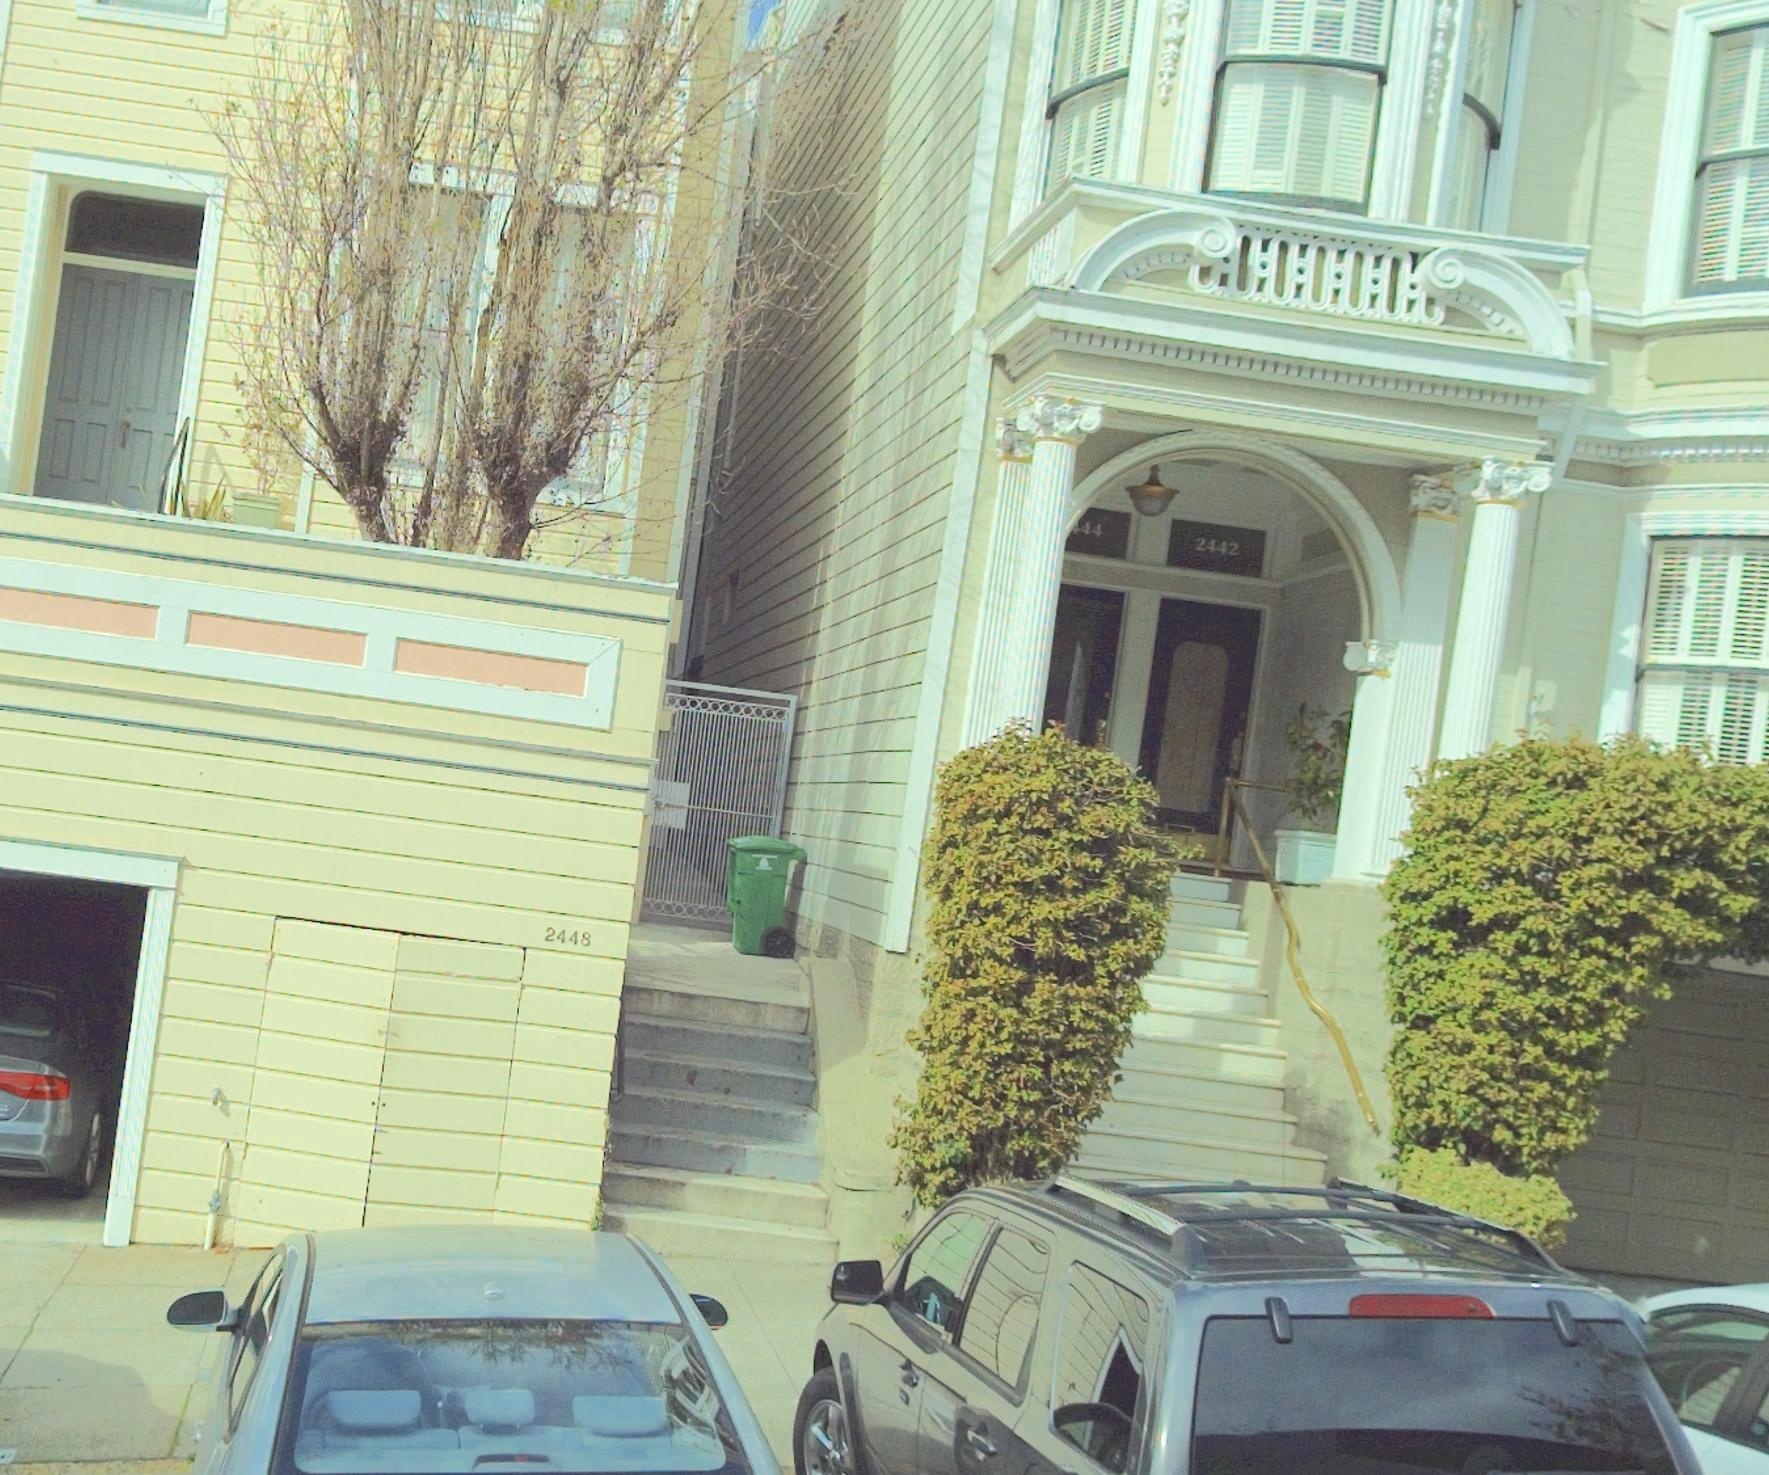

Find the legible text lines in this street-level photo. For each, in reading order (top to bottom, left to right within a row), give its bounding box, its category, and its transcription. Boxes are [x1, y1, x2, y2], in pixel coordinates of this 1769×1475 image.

[1079, 519, 1104, 541] StreetNumber: 44
[1192, 535, 1242, 558] StreetNumber: 2442
[542, 924, 594, 949] StreetNumber: 2448